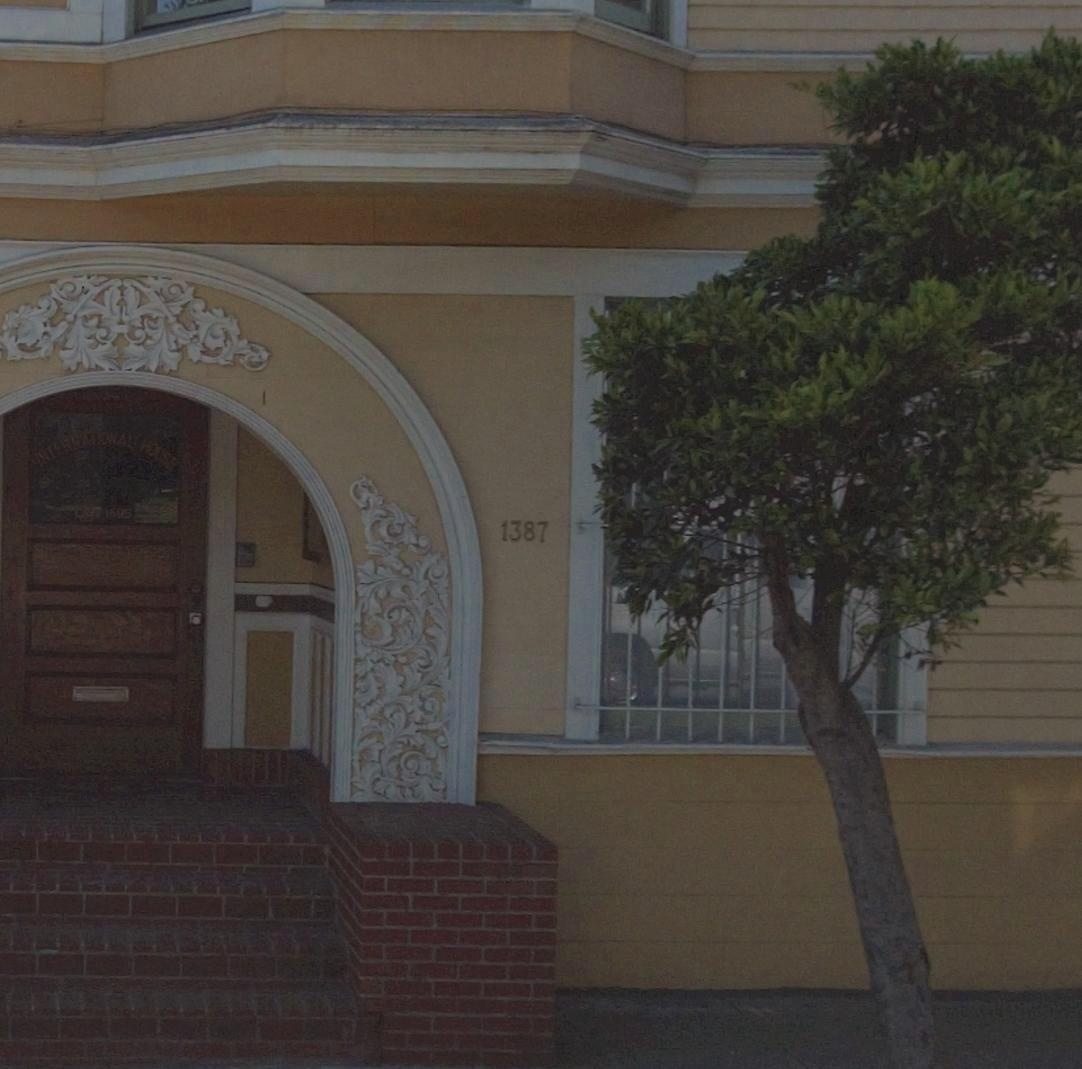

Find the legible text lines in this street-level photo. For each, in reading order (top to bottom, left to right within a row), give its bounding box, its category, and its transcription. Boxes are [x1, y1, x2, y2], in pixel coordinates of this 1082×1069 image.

[31, 435, 75, 469] None: INTER
[137, 434, 182, 474] None: HOUSE
[500, 517, 551, 544] StreetNumber: 1387